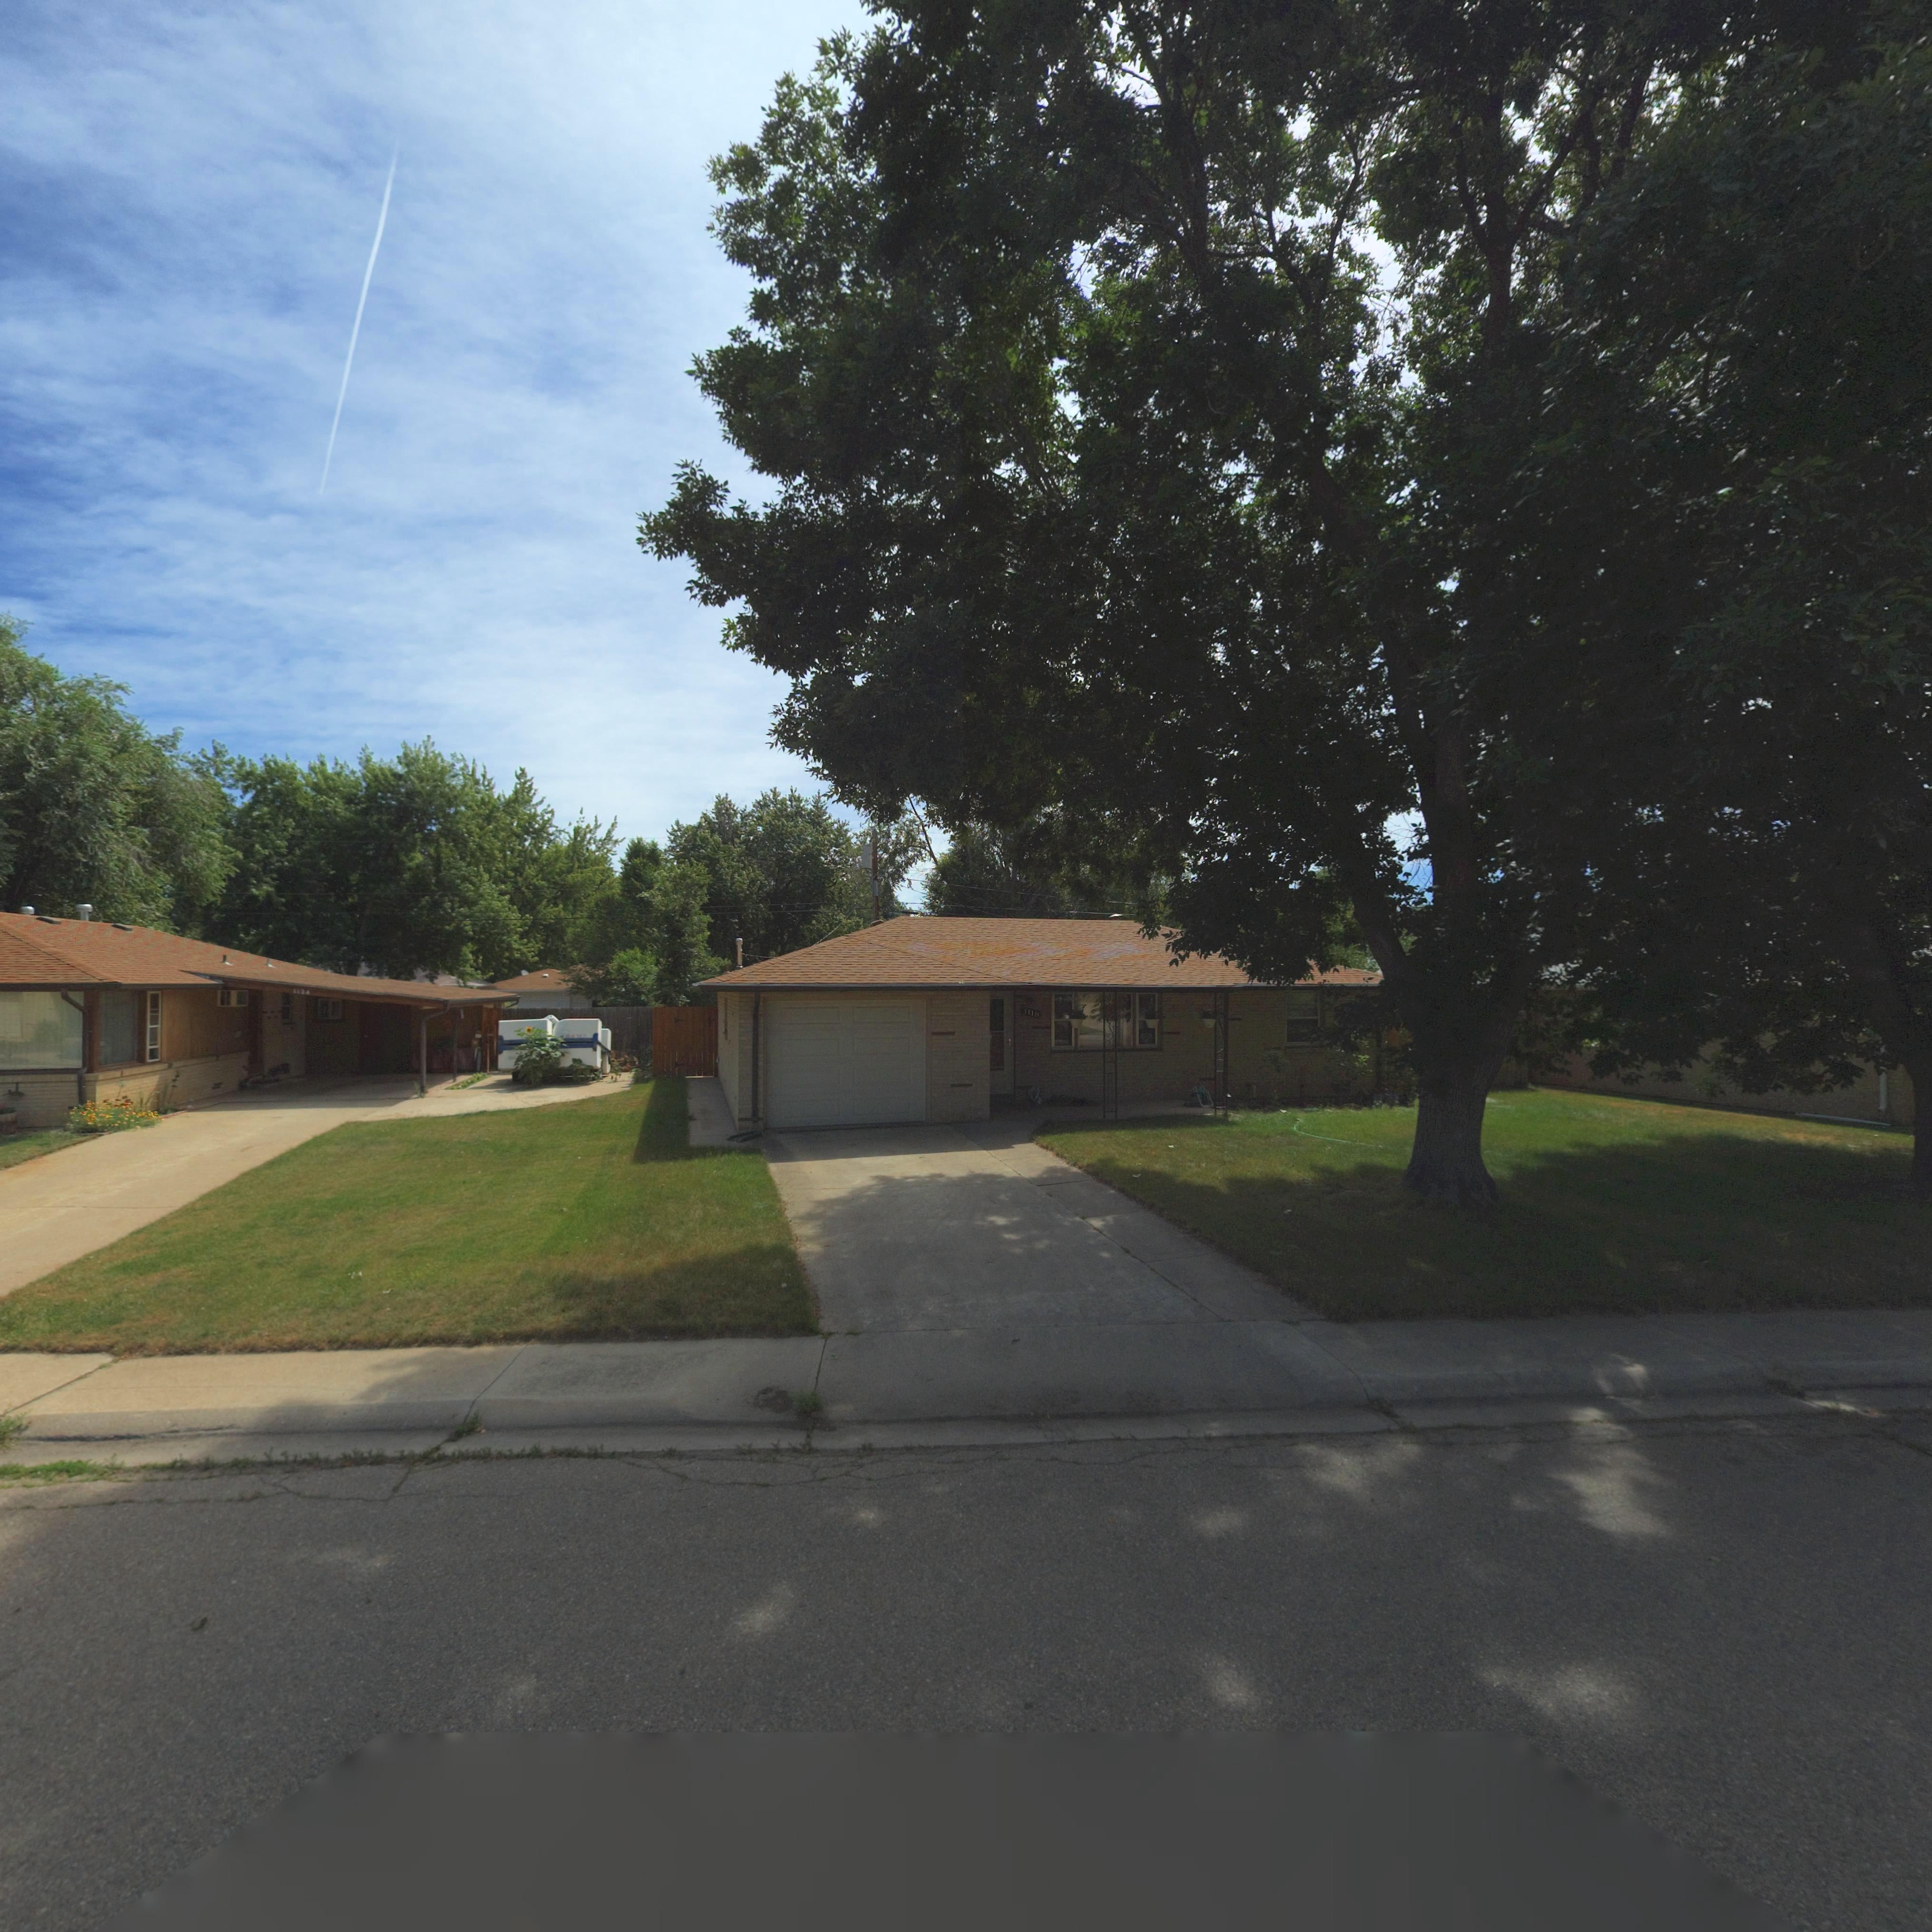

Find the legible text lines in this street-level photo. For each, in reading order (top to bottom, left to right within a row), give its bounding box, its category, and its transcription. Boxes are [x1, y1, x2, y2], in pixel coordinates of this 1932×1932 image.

[293, 987, 310, 995] StreetNumber: 1124
[1024, 1007, 1040, 1018] StreetNumber: 1118